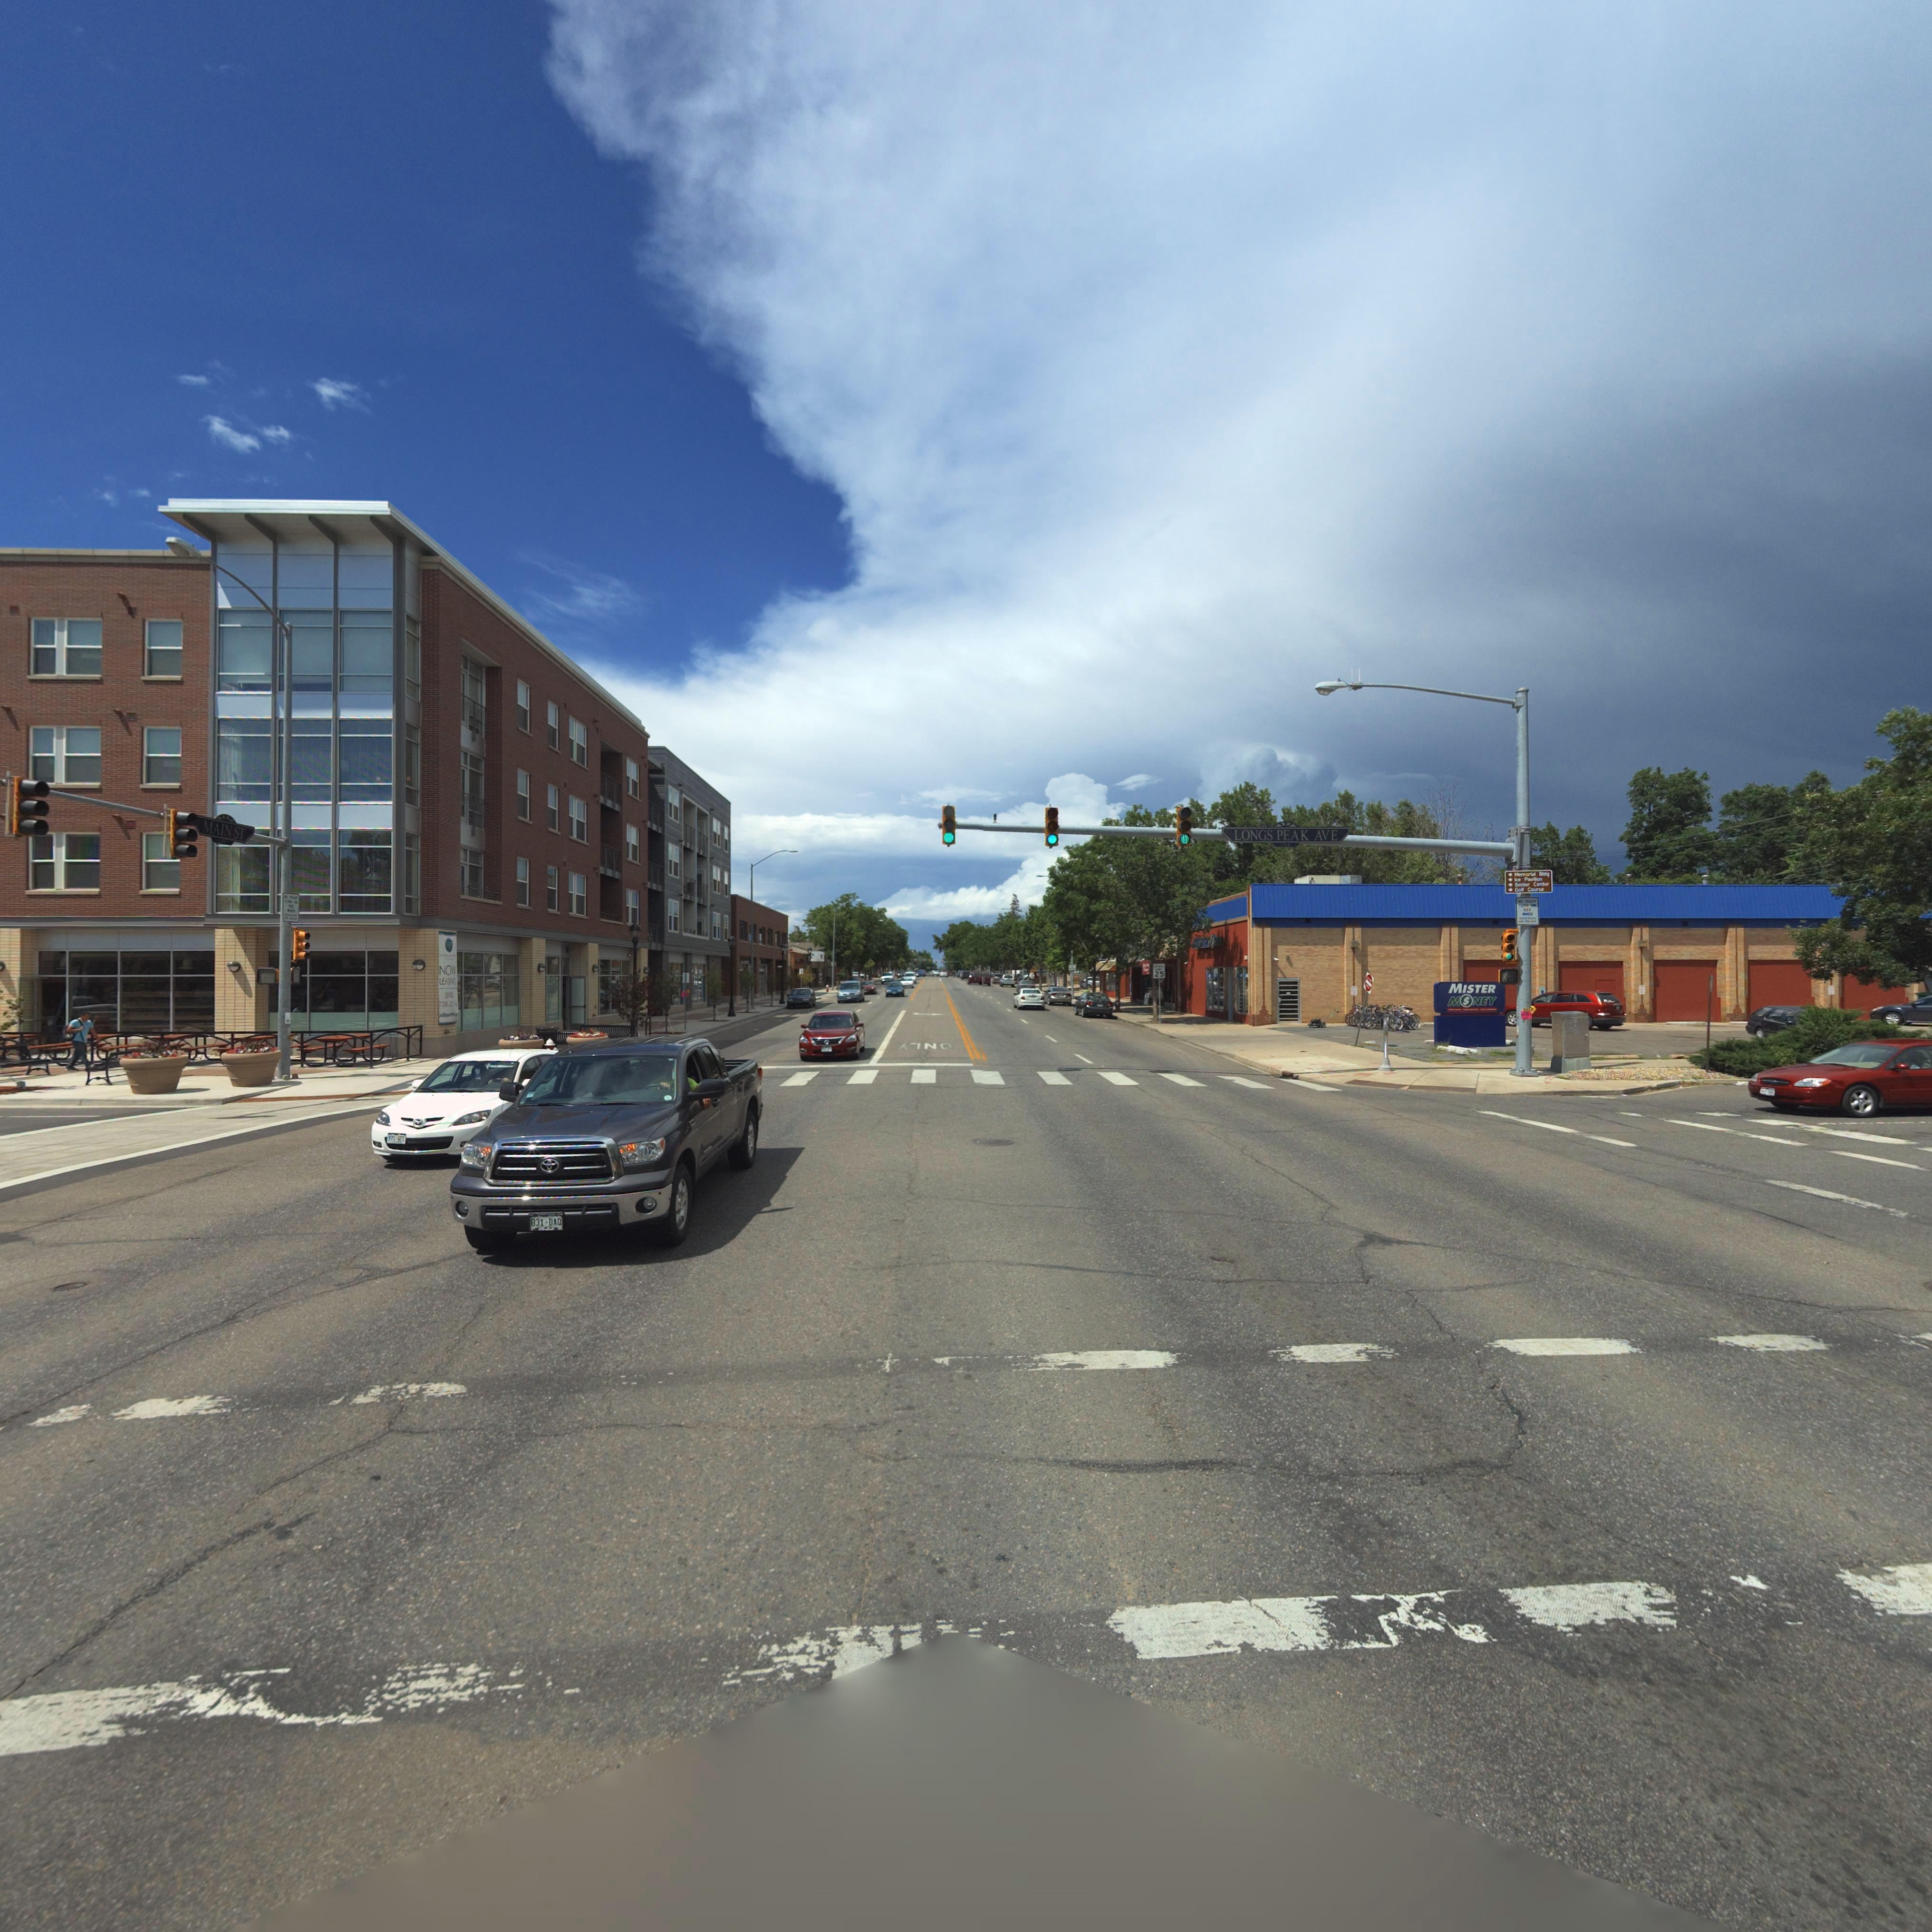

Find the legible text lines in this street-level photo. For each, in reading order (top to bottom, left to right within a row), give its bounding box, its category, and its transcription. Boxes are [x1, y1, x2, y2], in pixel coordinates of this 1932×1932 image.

[203, 820, 246, 840] StreetName: MAIN ST
[1234, 829, 1338, 841] StreetName: LONGS PEAK AVE
[1448, 983, 1496, 994] BusinessName: MISTER
[1447, 994, 1497, 1008] BusinessName: M*NEY